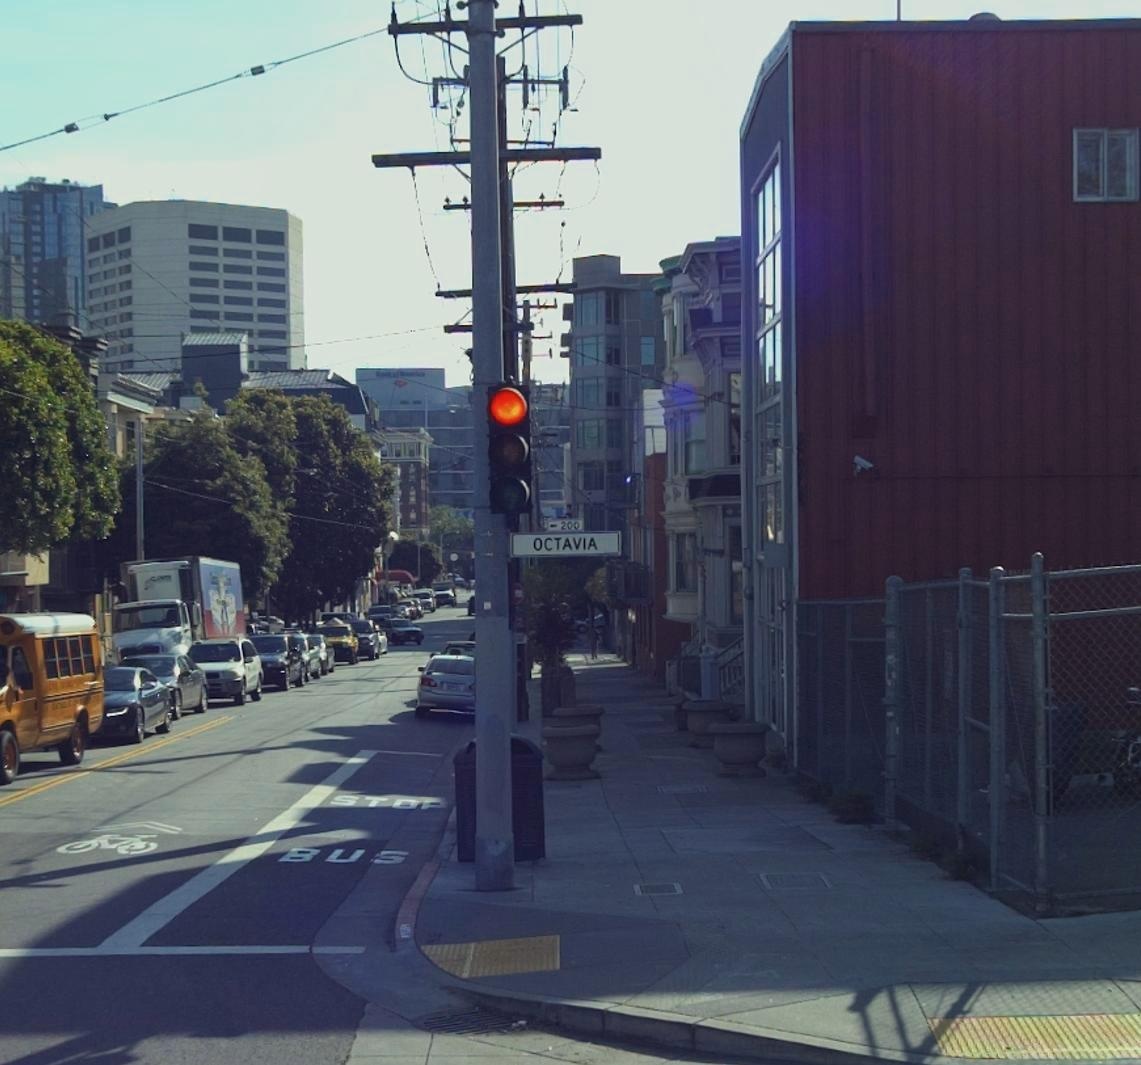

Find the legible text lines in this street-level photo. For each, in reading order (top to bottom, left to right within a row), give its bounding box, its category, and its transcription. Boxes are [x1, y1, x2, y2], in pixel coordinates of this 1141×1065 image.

[547, 518, 581, 531] StreetNumberRange: <-200
[533, 535, 597, 552] StreetName: OCTAVIA
[327, 794, 448, 811] None: STOP
[274, 846, 412, 866] None: BUS